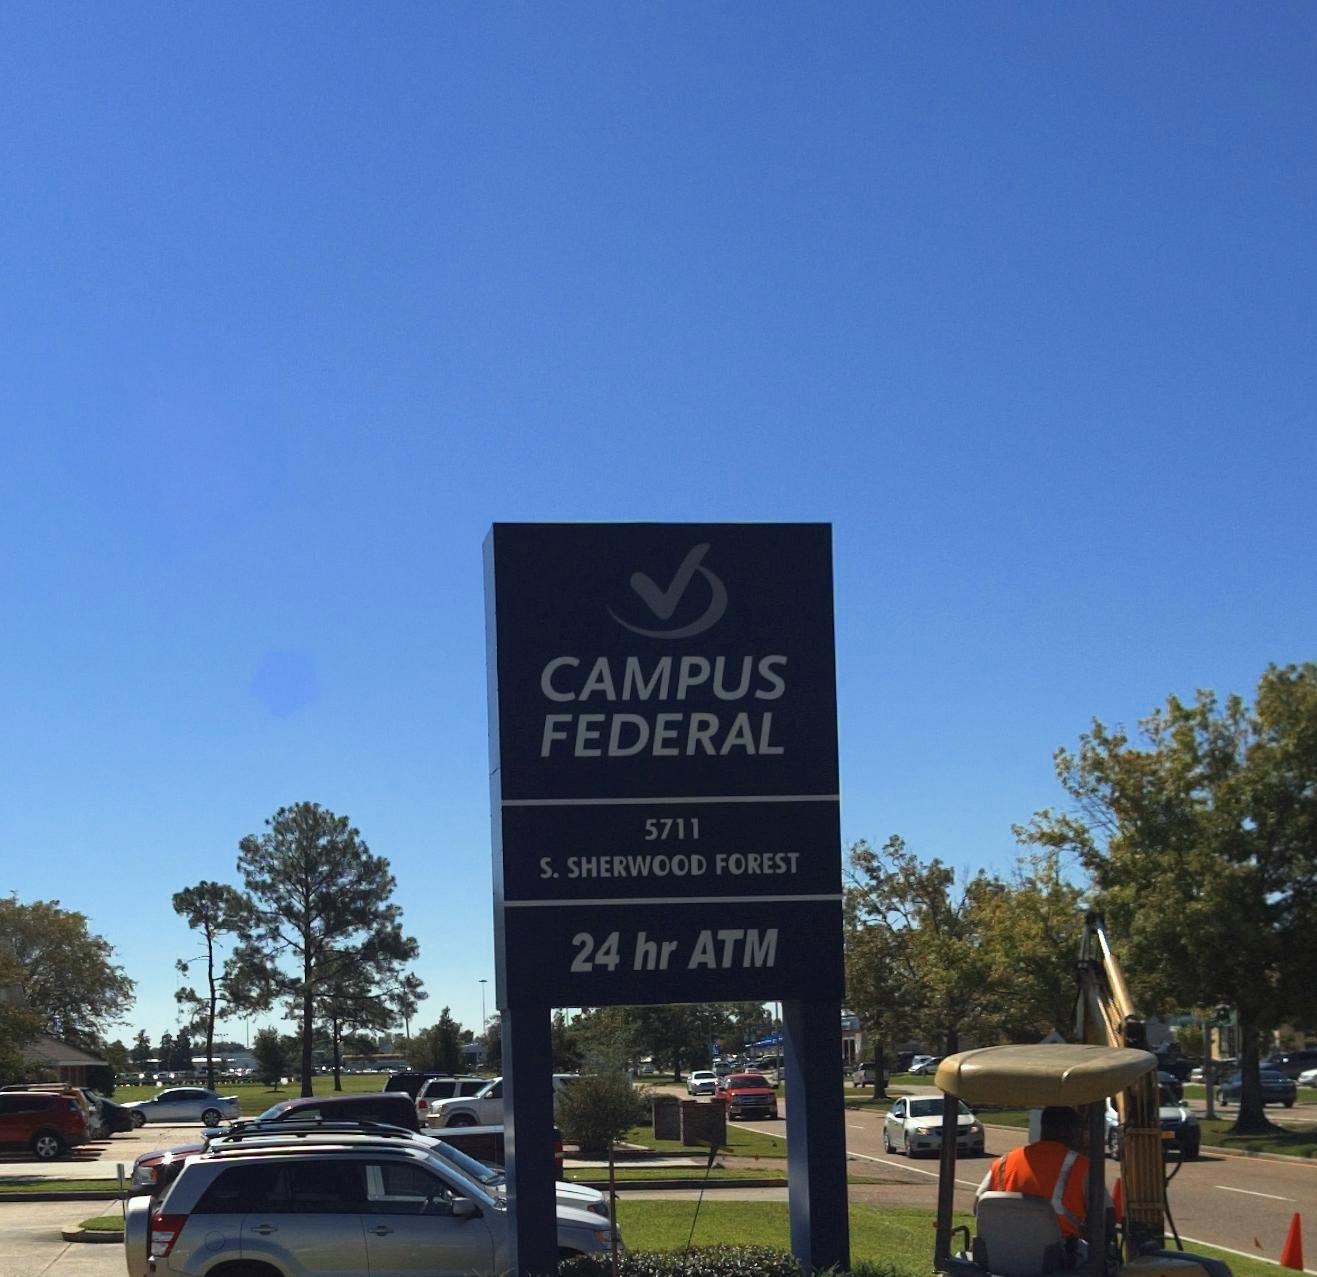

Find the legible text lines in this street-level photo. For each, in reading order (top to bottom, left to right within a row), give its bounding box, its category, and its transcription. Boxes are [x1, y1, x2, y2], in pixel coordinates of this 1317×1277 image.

[535, 651, 794, 706] BusinessName: CAMPUS
[536, 707, 791, 761] BusinessName: FEDERAL
[643, 816, 703, 842] StreetNumber: 5711
[537, 849, 803, 882] StreetName: S. SHERWOOD FOREST
[566, 924, 784, 975] None: 24 hr ATM